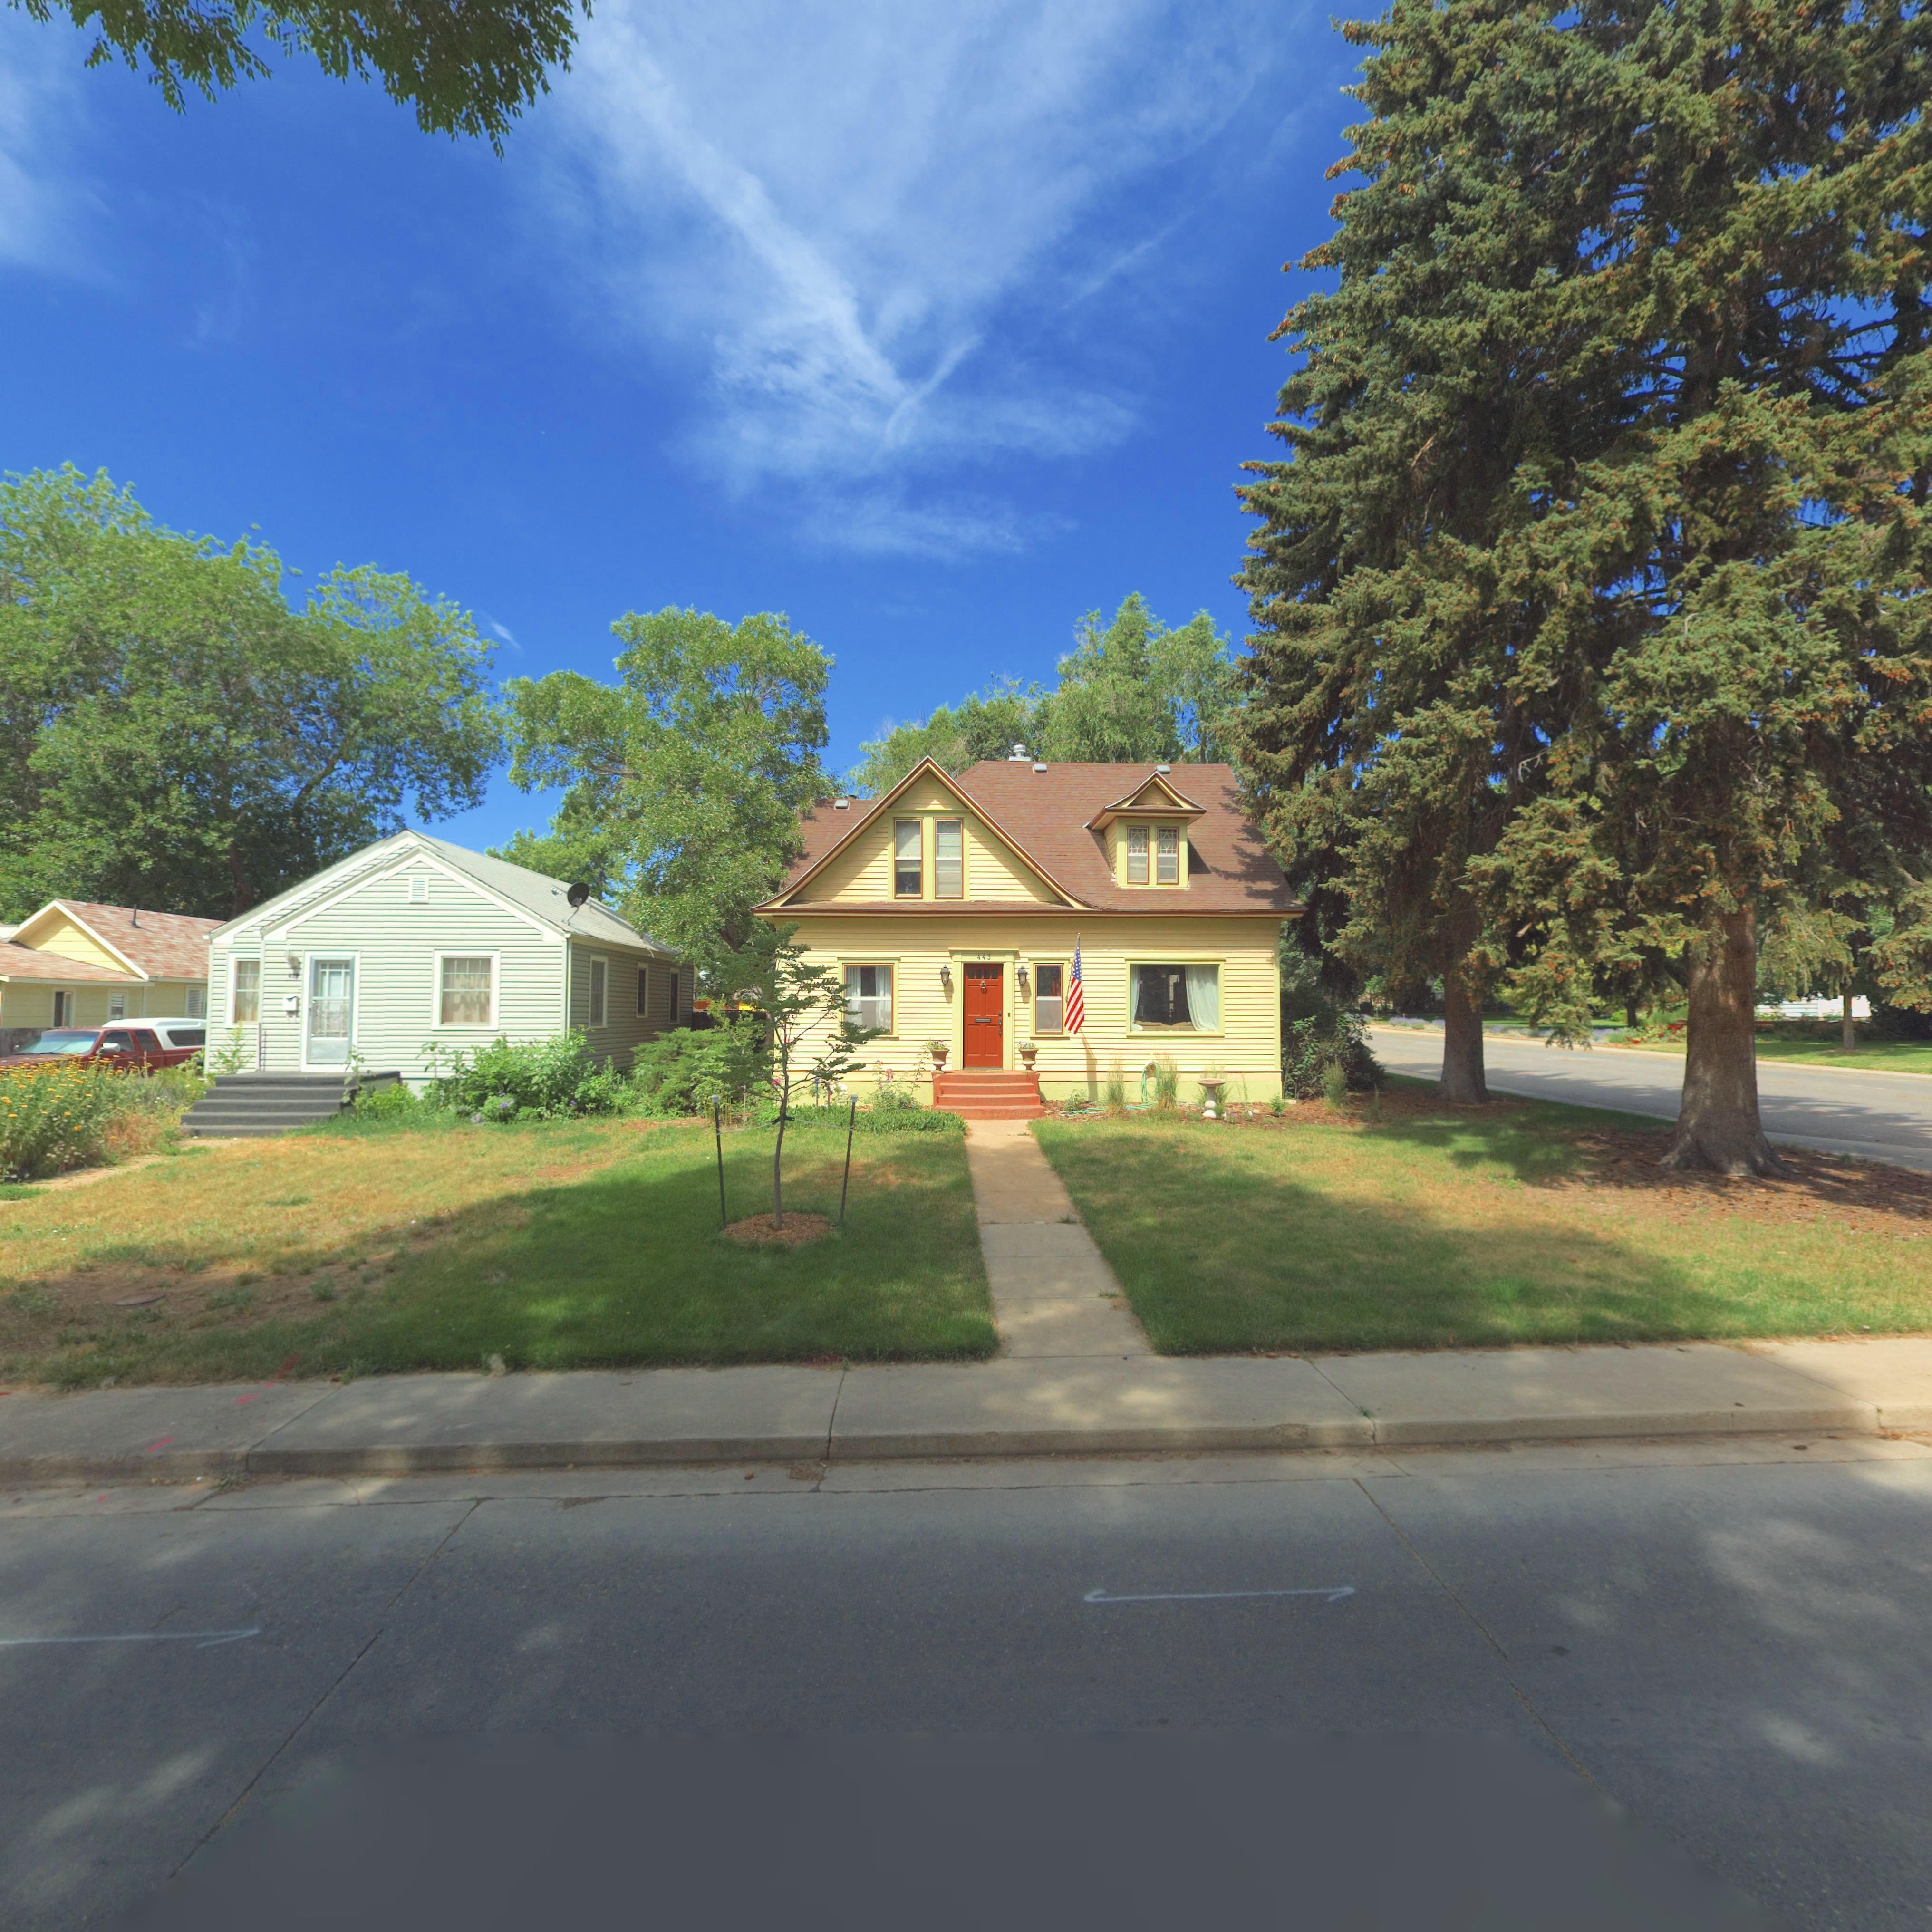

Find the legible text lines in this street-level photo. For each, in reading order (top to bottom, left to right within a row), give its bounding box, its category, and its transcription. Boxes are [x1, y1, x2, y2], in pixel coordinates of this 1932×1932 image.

[976, 953, 991, 960] StreetNumber: 443